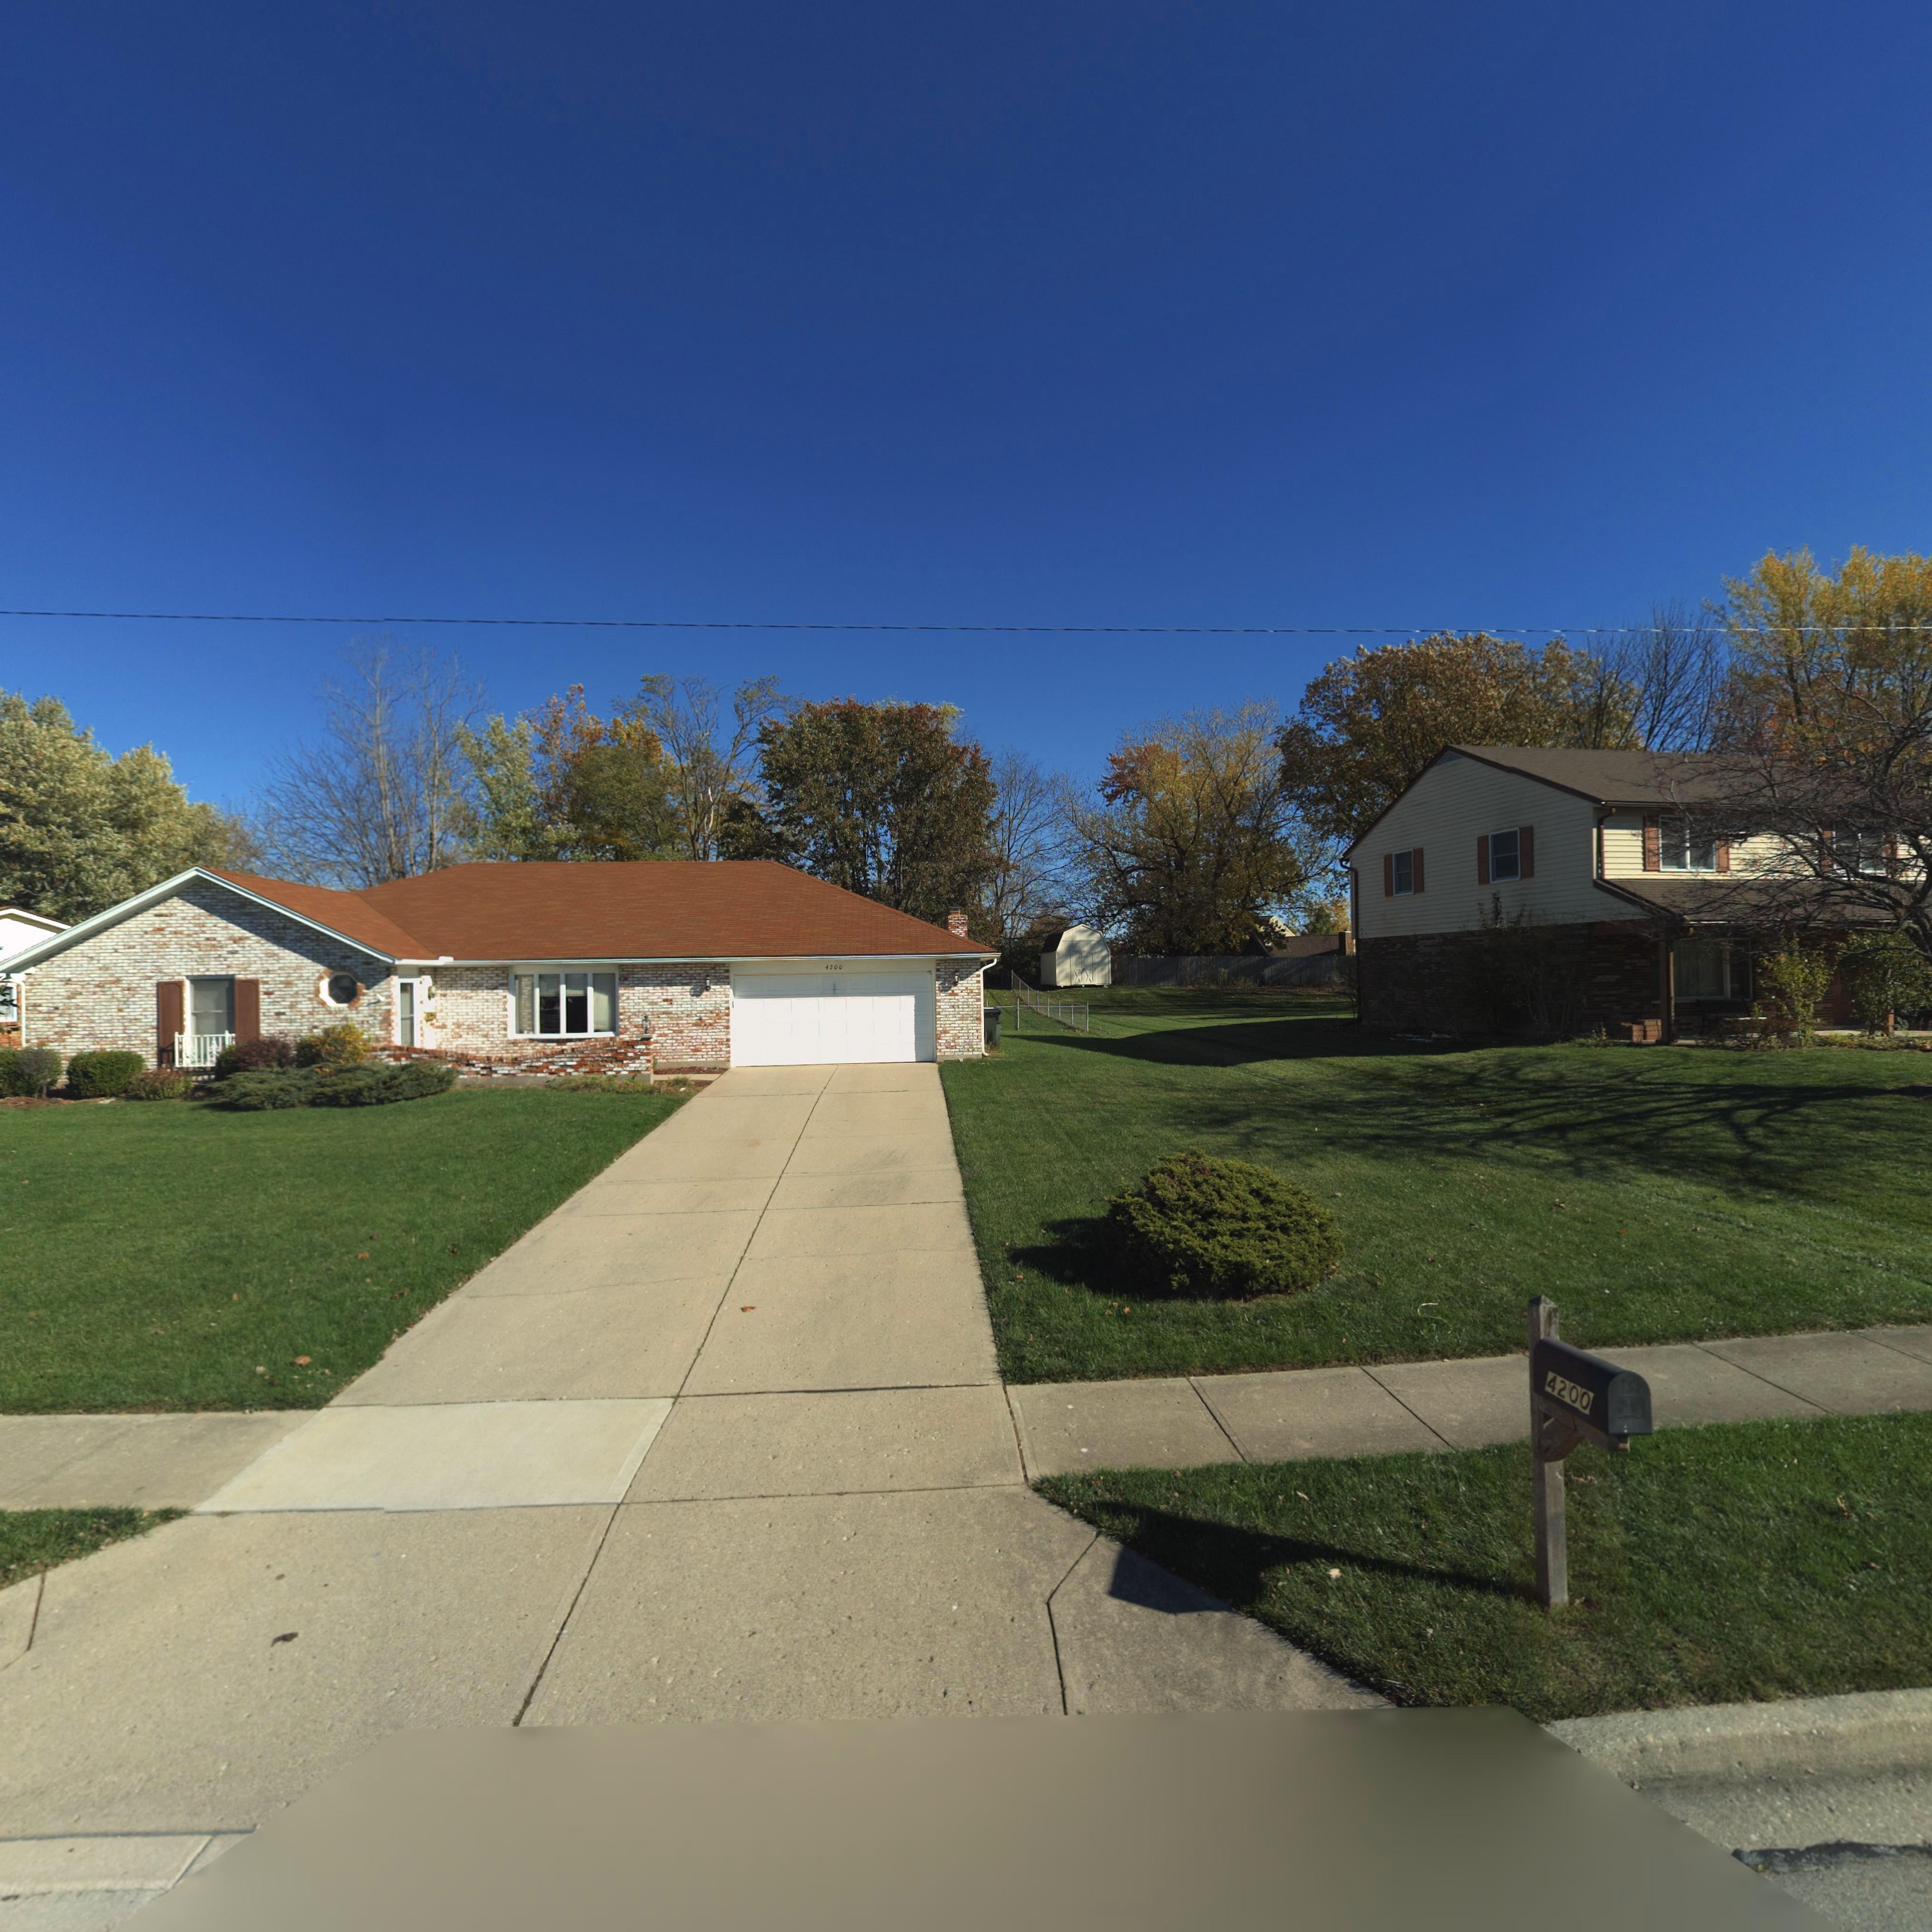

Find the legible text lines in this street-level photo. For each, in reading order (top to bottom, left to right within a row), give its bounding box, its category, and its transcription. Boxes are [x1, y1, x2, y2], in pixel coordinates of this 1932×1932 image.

[825, 964, 842, 970] StreetNumber: 4200
[1545, 1373, 1594, 1412] StreetNumber: 4200